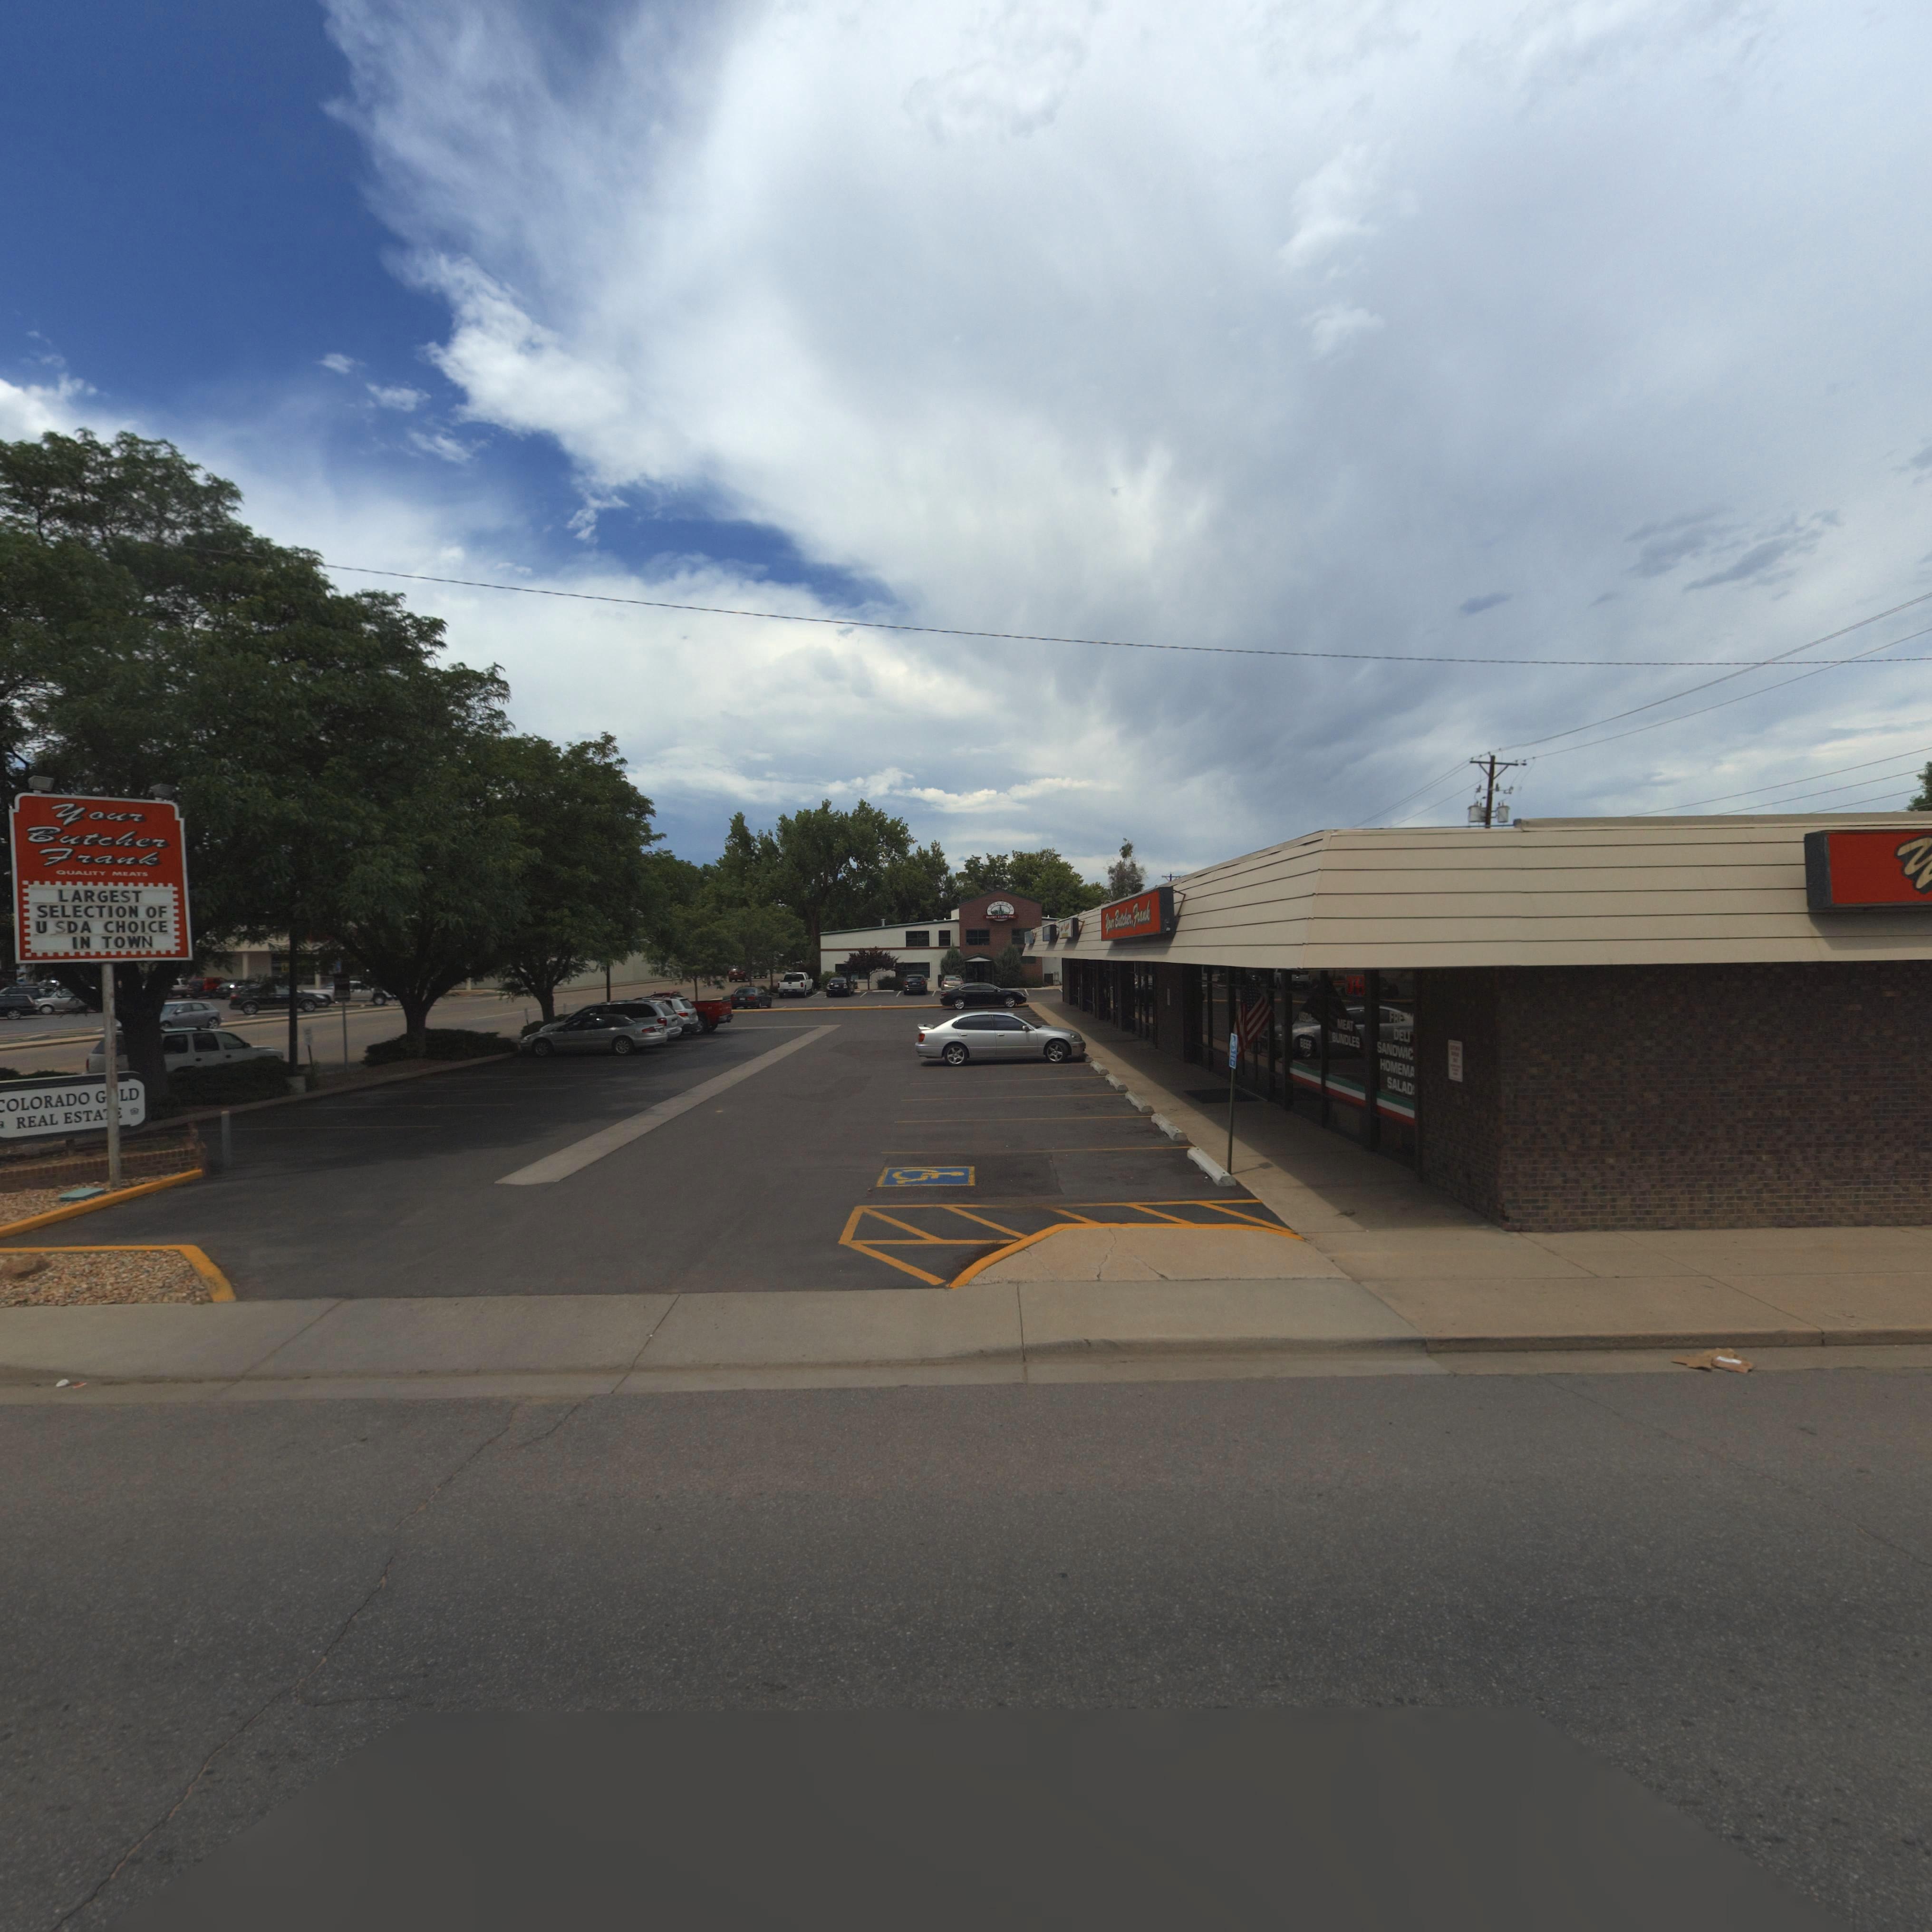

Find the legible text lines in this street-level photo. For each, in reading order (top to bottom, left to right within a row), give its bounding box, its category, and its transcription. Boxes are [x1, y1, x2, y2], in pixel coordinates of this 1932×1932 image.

[49, 802, 147, 827] BusinessName: Your
[26, 824, 169, 849] BusinessName: Butcher
[38, 846, 161, 868] BusinessName: Frank
[1105, 898, 1151, 935] BusinessName: Your Butcher Frank
[6, 1087, 139, 1112] BusinessName: OLORADO G*LD
[16, 1106, 122, 1129] BusinessName: REAL ESTA**